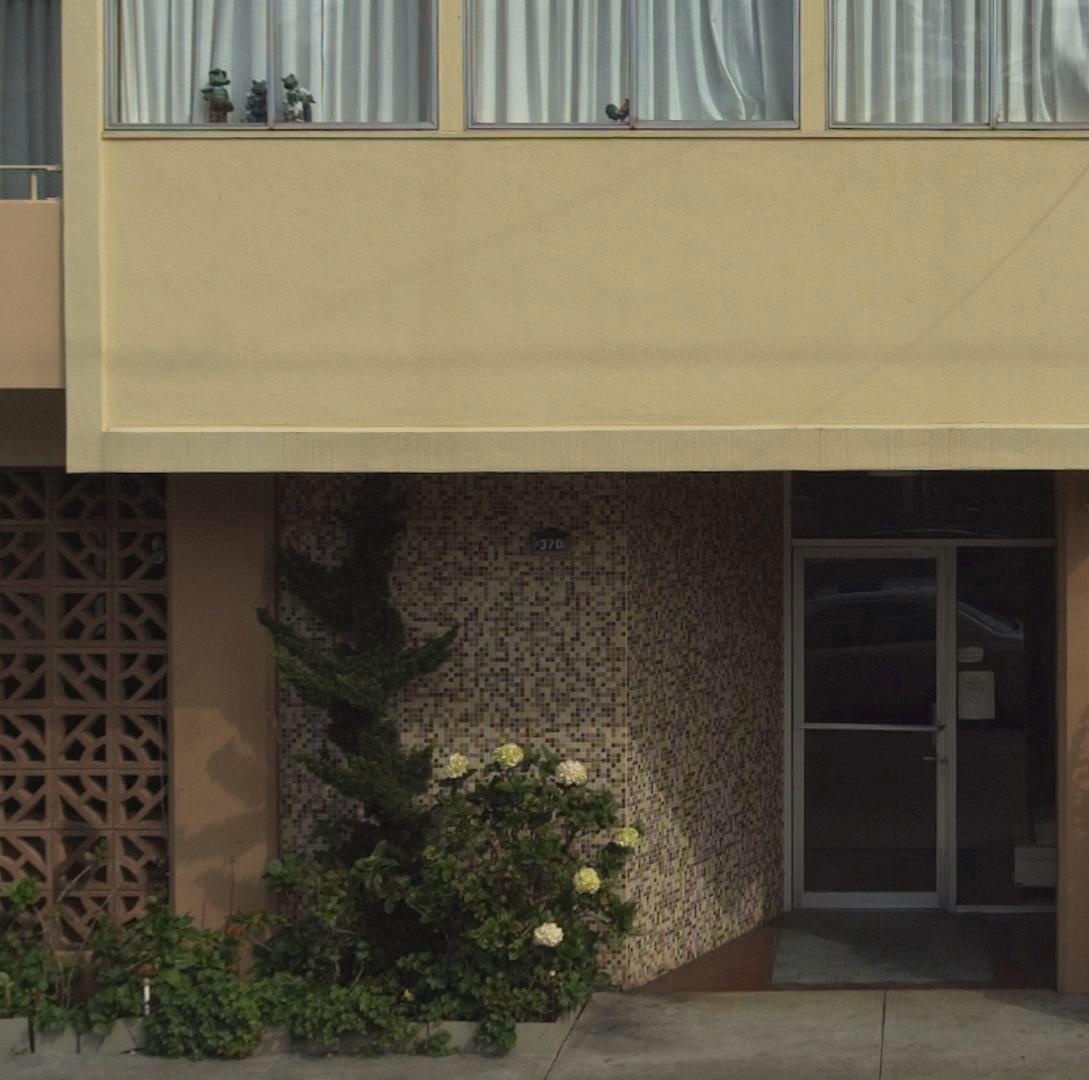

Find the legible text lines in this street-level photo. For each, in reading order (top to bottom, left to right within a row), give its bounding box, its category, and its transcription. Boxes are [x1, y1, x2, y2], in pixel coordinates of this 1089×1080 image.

[539, 538, 563, 551] StreetNumber: 370